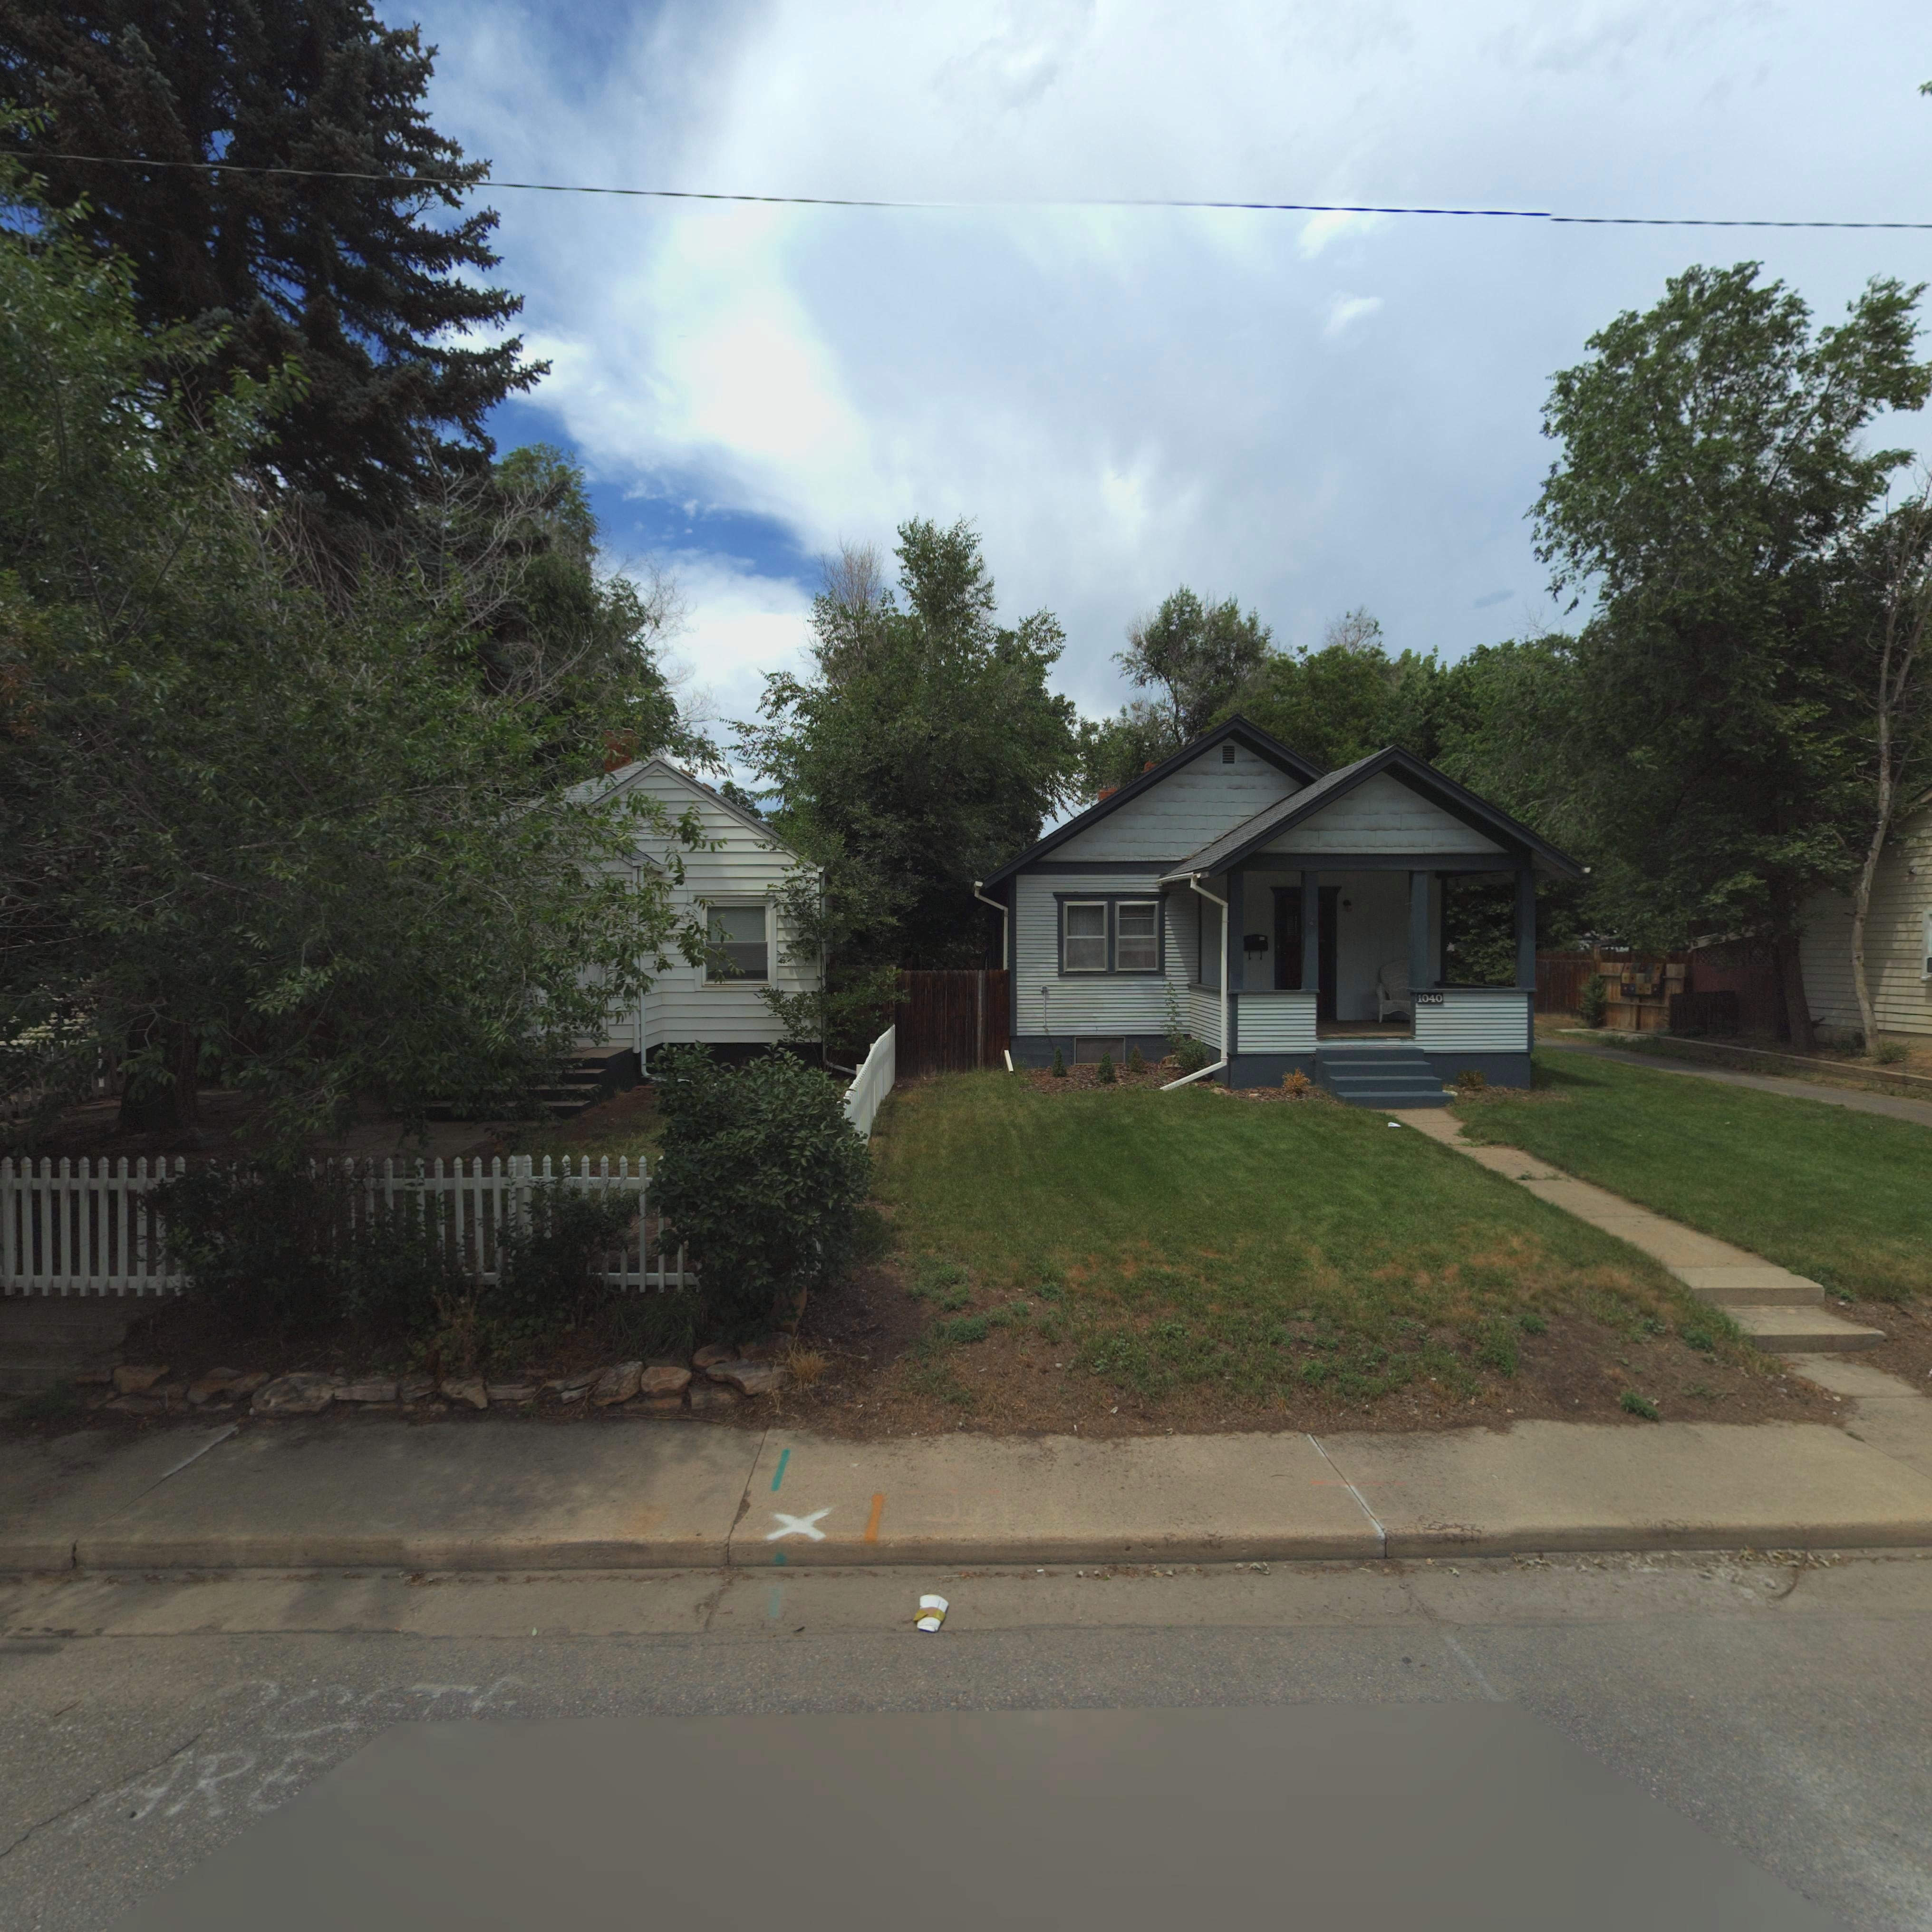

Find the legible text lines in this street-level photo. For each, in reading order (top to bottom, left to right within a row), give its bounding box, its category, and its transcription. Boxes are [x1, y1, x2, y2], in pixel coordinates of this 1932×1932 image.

[1417, 994, 1443, 1004] StreetNumber: 1040